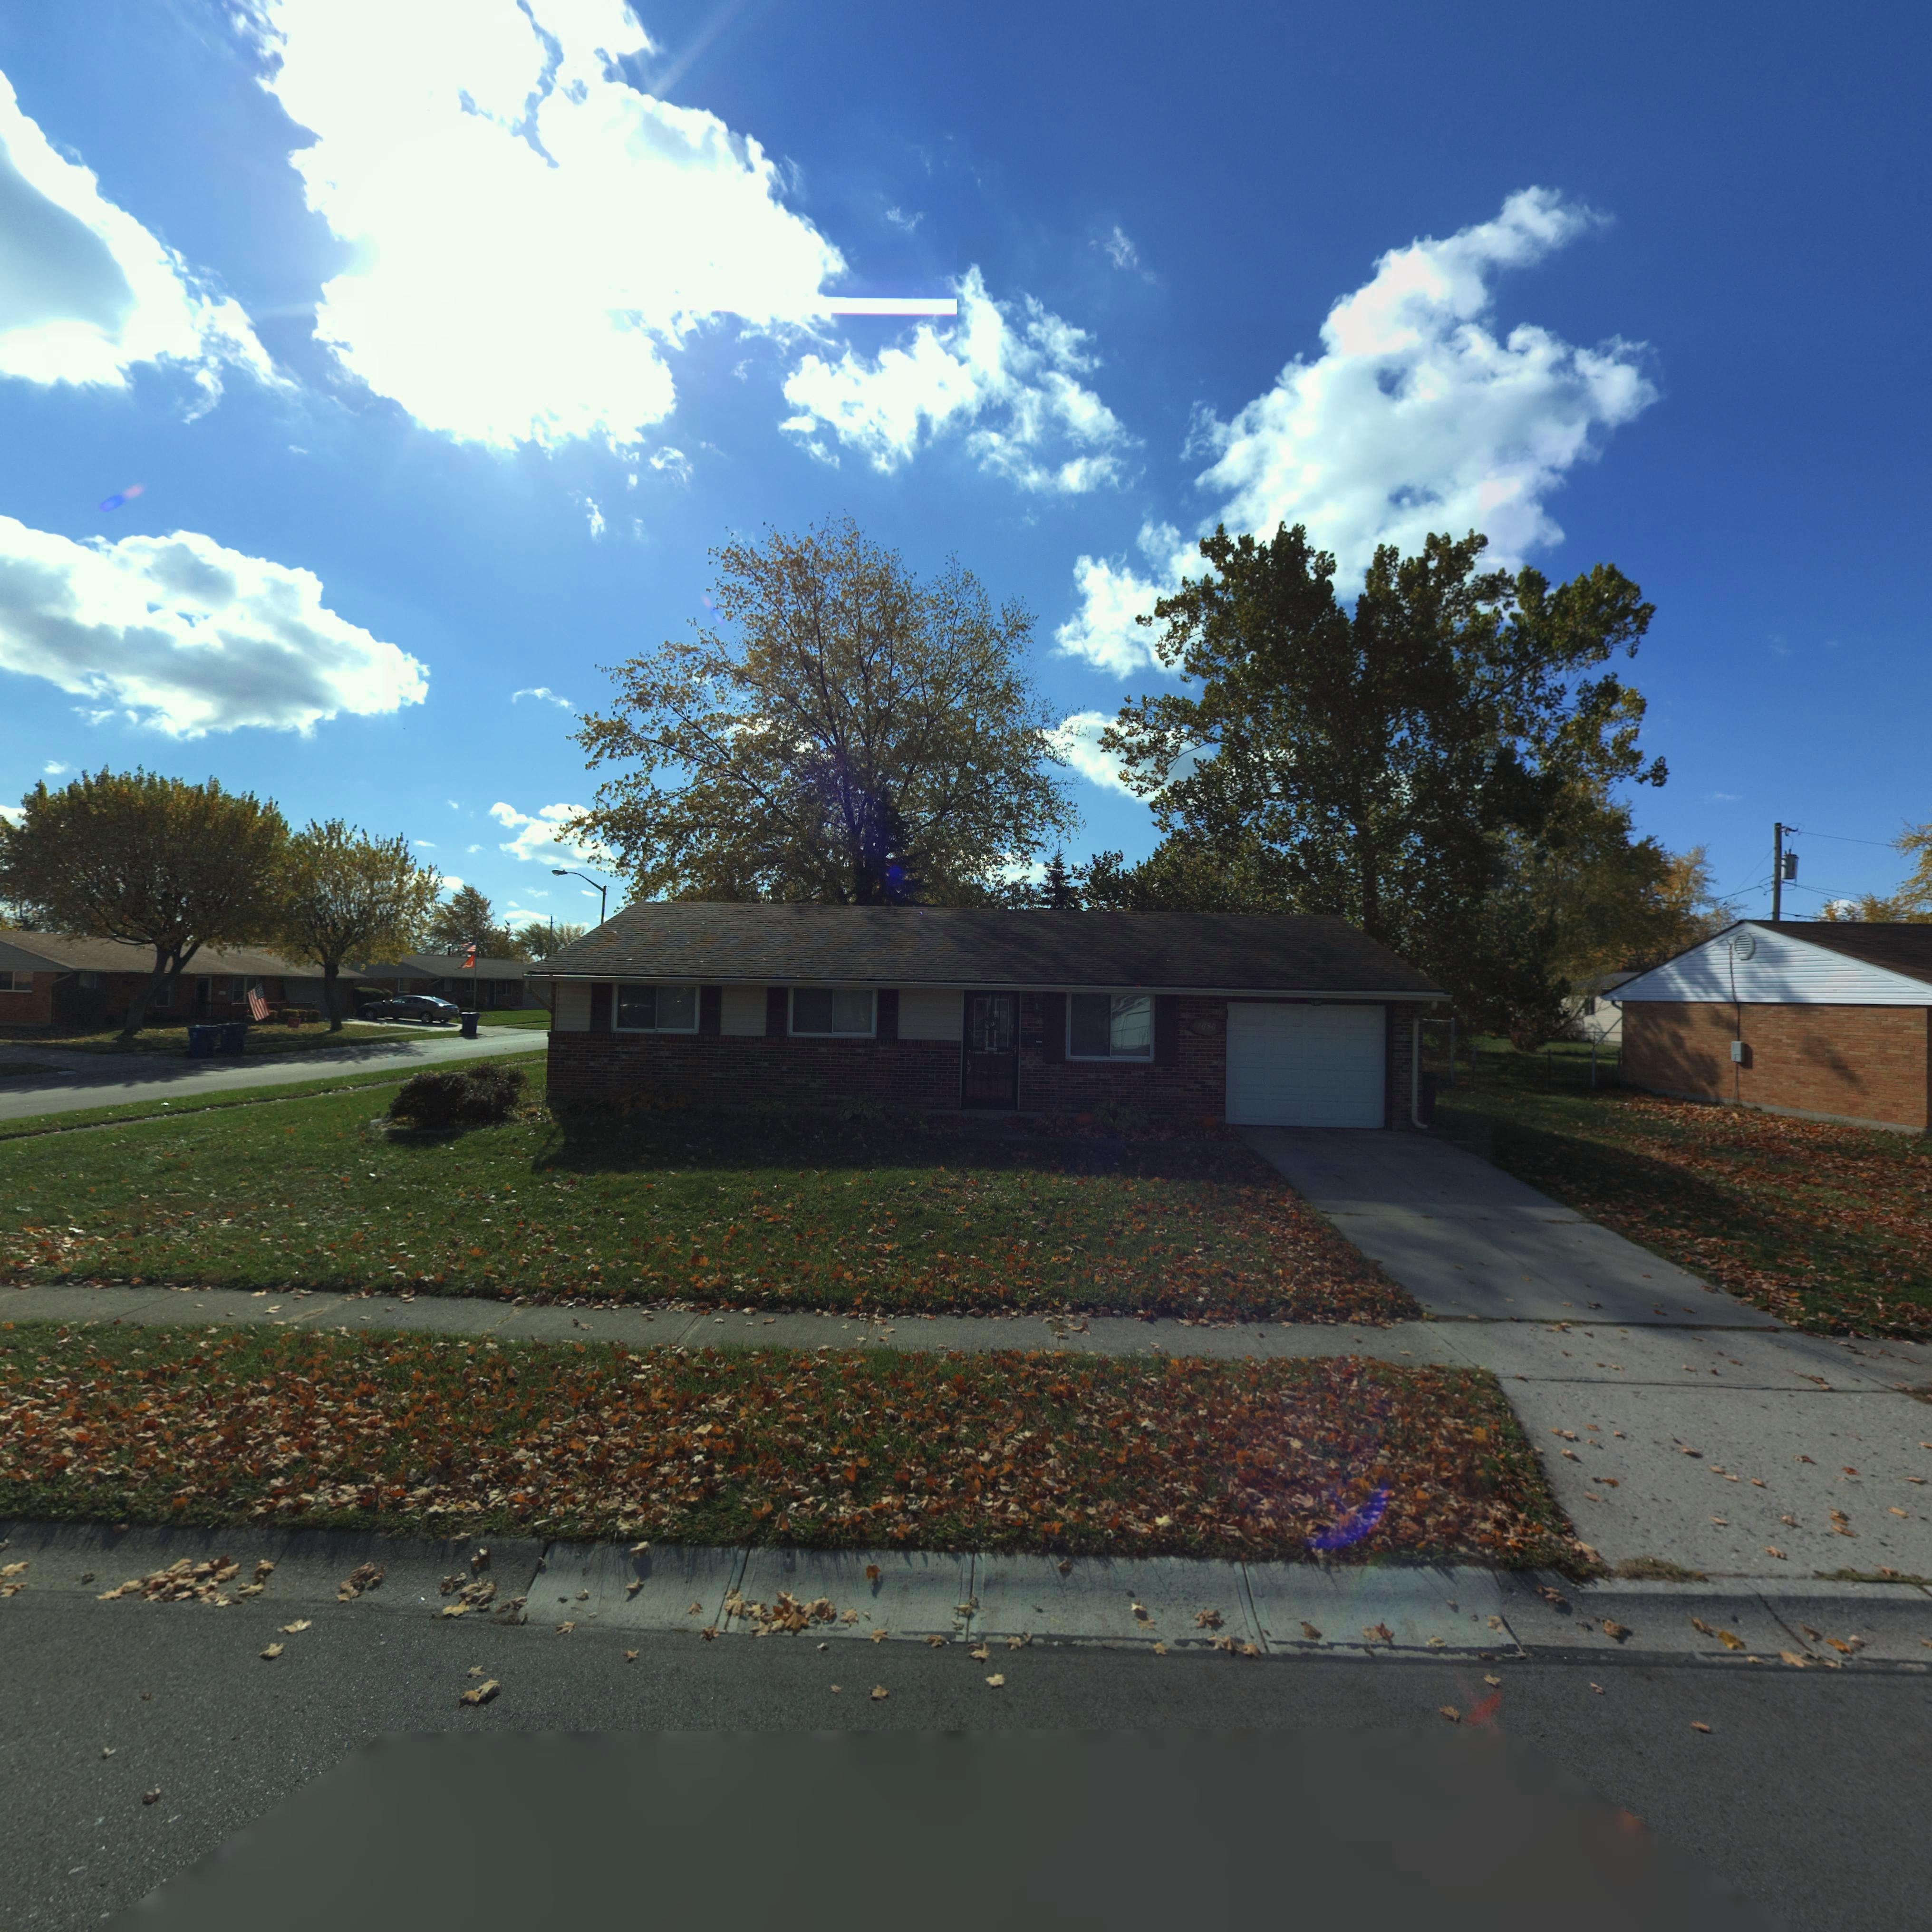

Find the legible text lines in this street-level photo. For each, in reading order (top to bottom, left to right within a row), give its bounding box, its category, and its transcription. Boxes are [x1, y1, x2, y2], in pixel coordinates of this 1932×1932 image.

[1196, 1022, 1217, 1032] StreetNumber: 7050